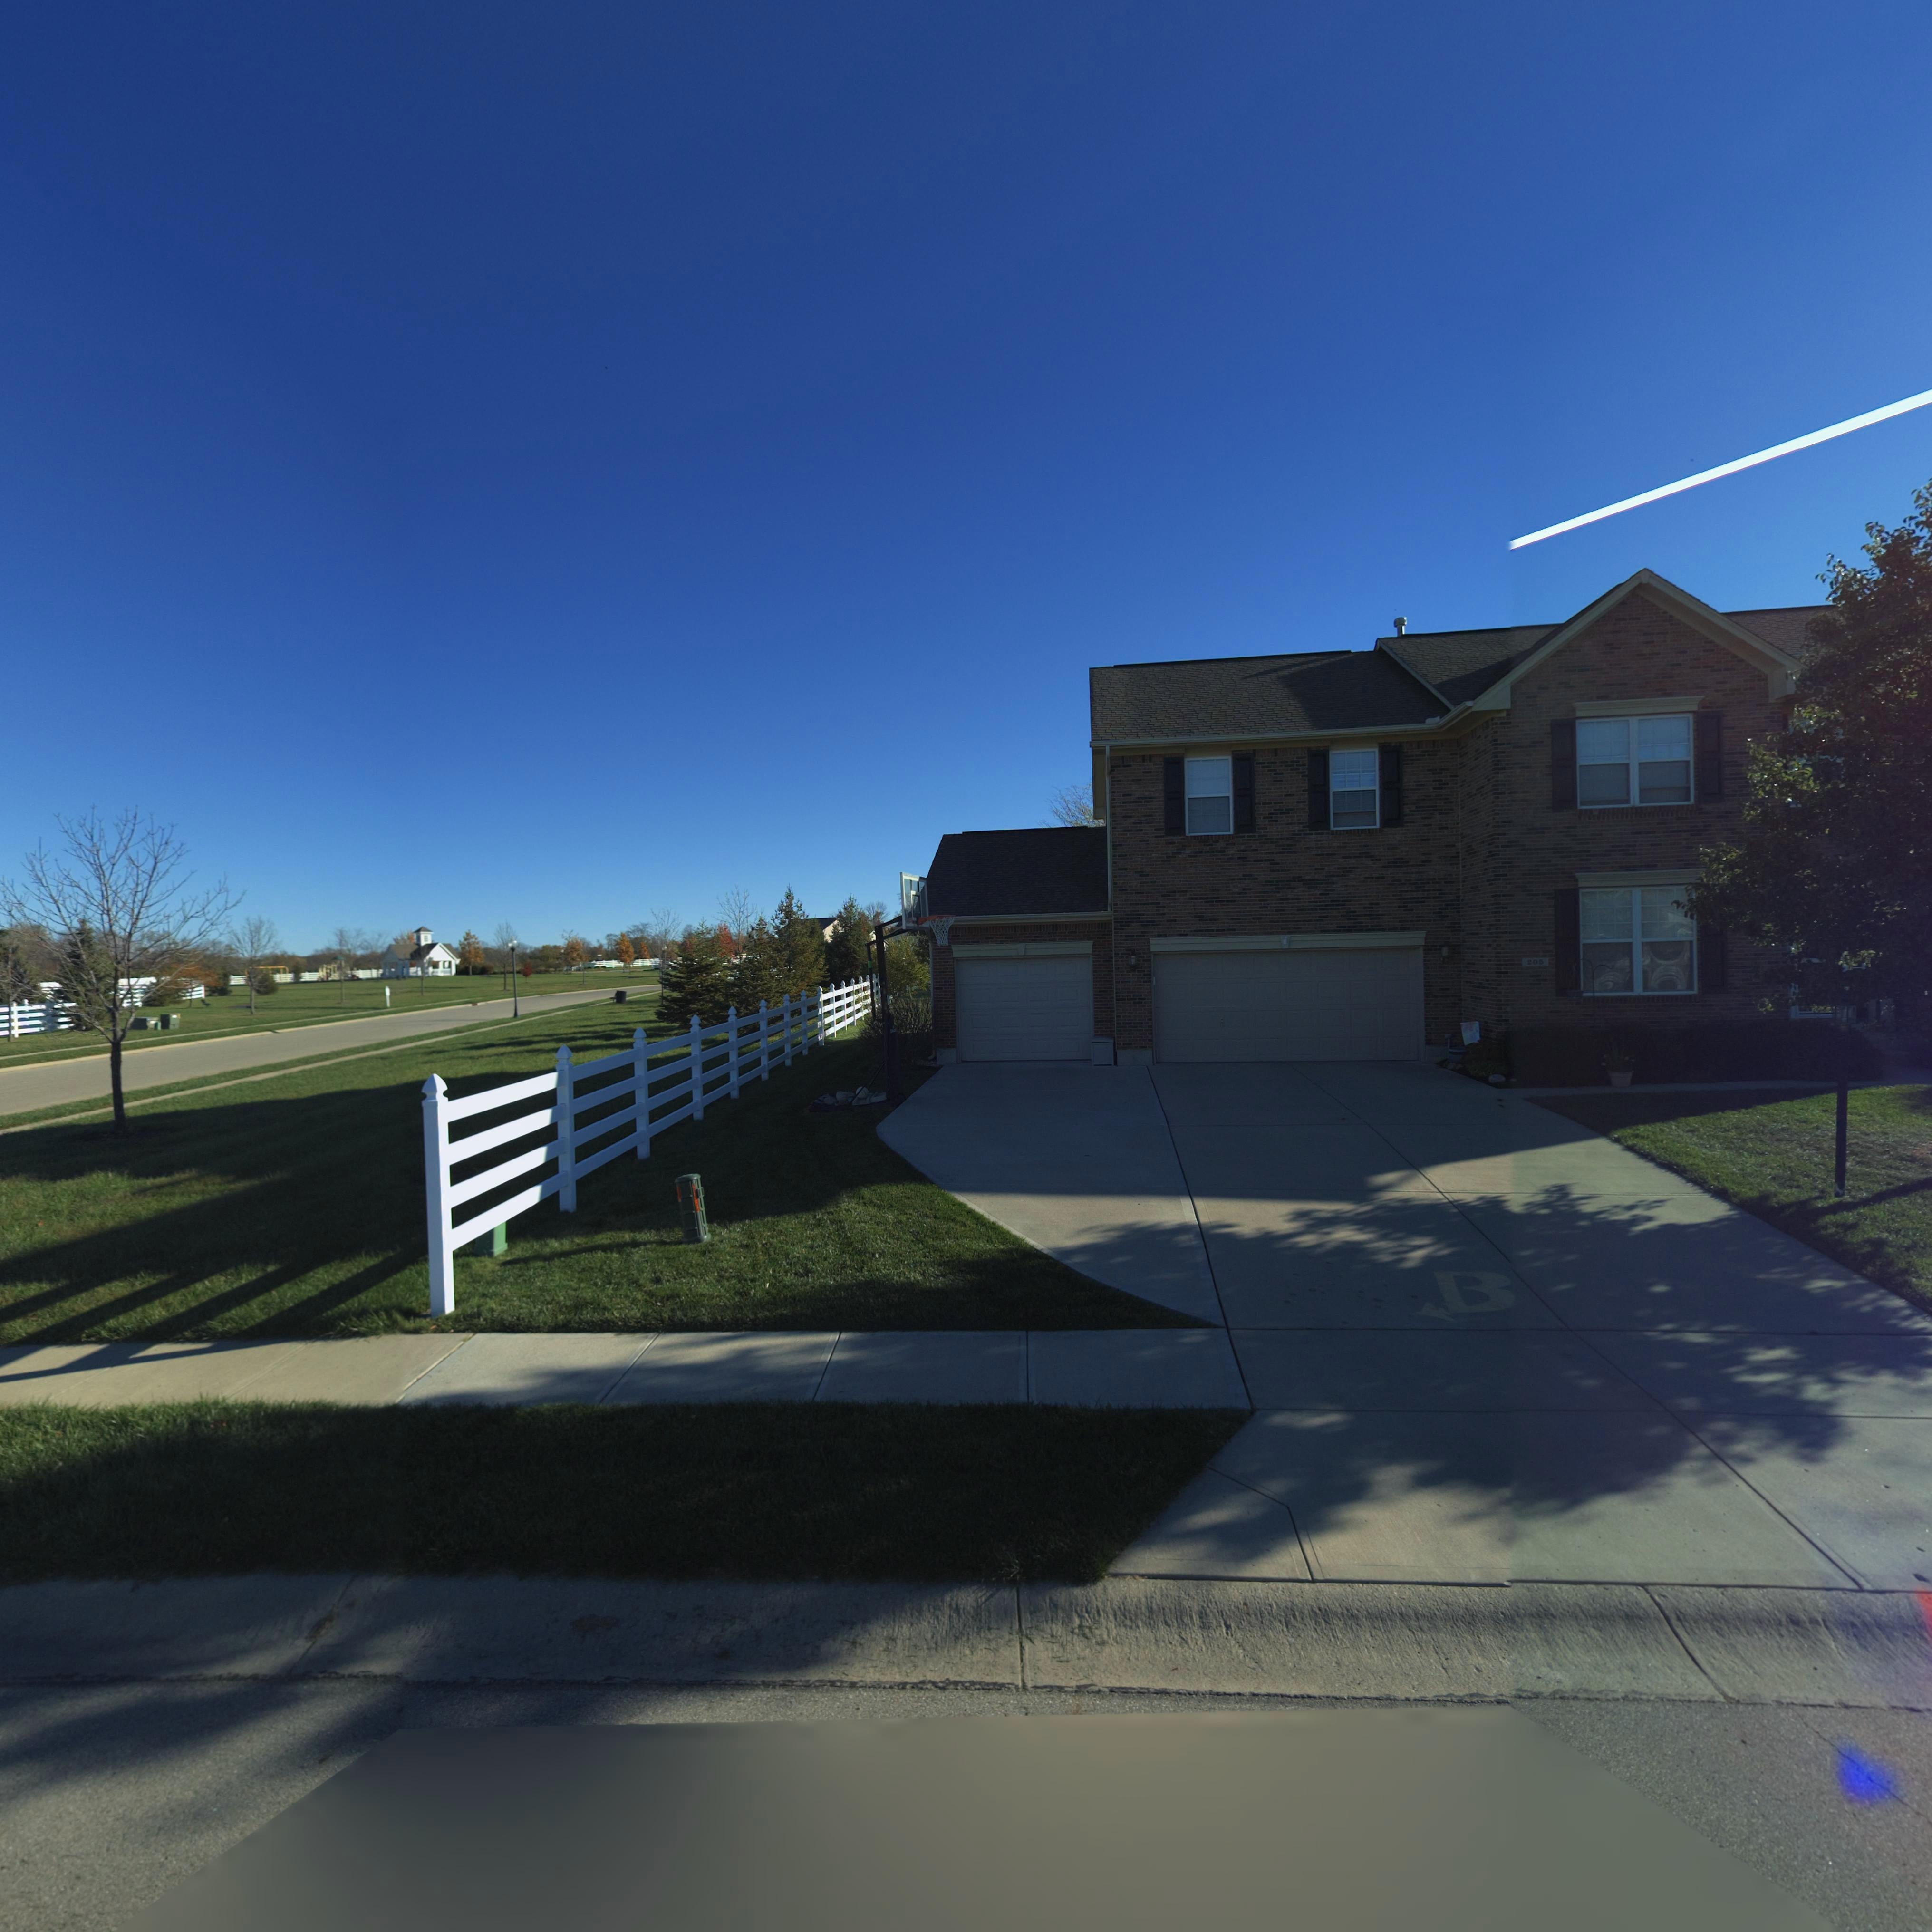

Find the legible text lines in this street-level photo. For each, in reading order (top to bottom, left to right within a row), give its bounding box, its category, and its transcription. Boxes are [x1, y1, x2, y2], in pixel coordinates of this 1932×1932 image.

[1526, 958, 1545, 966] StreetNumber: 20*